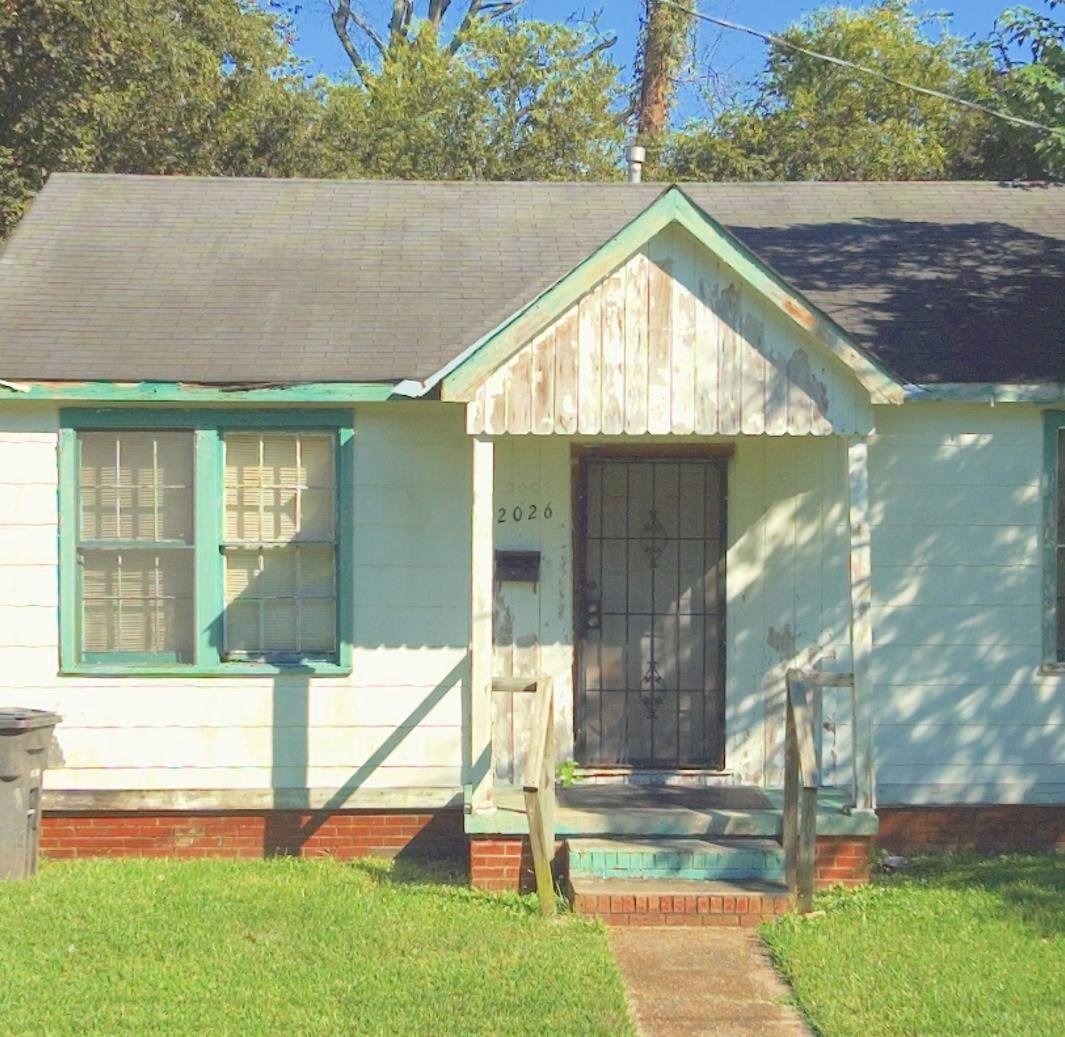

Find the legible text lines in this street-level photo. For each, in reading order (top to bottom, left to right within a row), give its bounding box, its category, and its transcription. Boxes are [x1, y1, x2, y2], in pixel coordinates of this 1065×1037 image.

[501, 480, 556, 498] StreetNumber: 2026
[496, 499, 554, 526] StreetNumber: 2026